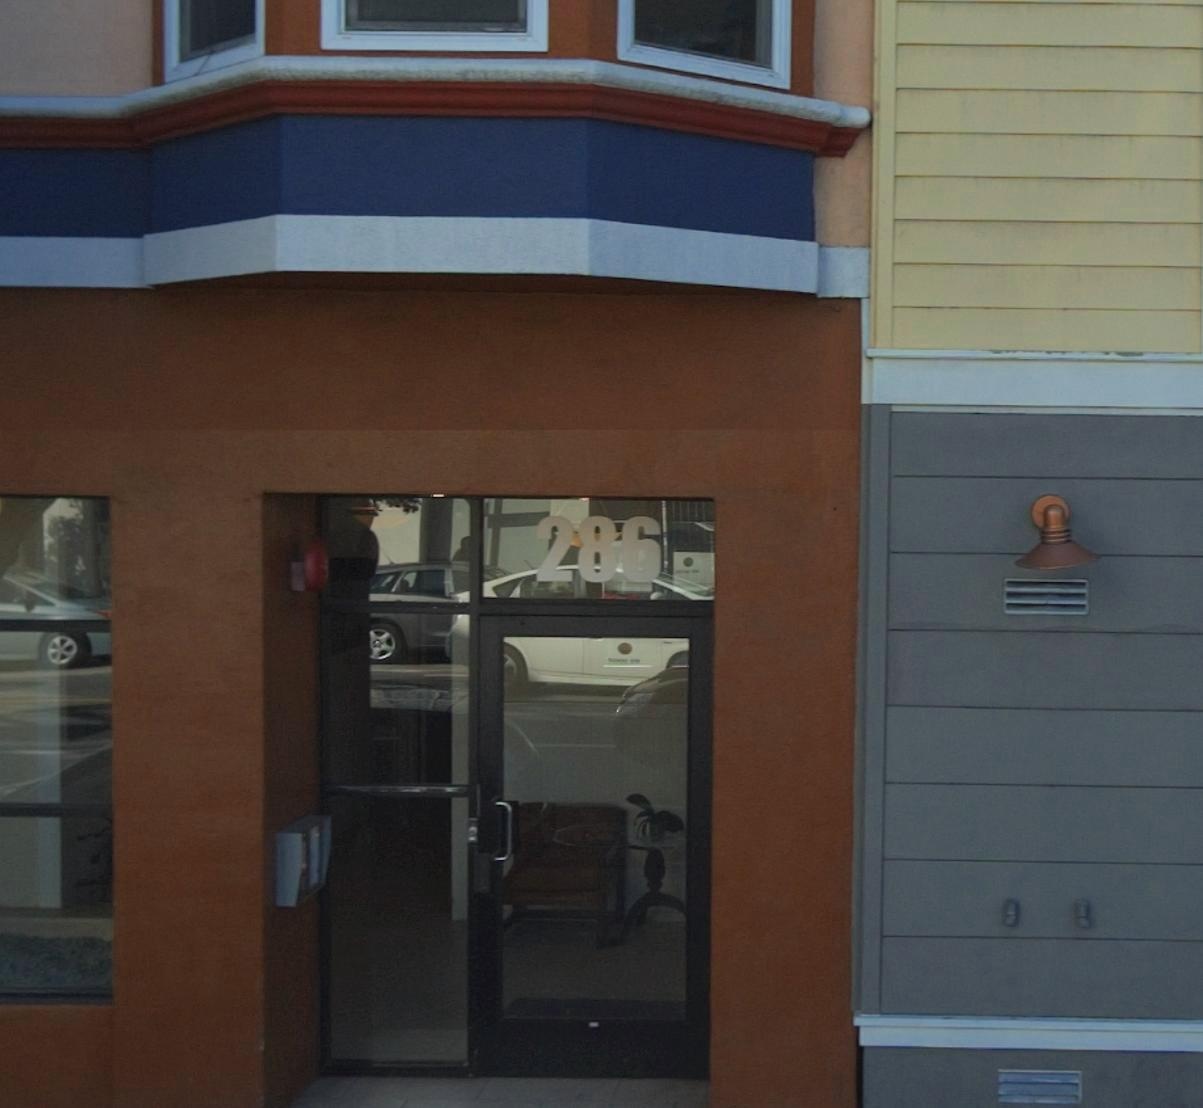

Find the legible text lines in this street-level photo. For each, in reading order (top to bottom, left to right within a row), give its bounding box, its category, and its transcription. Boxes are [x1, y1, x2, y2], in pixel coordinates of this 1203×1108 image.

[534, 514, 663, 584] StreetNumber: 286